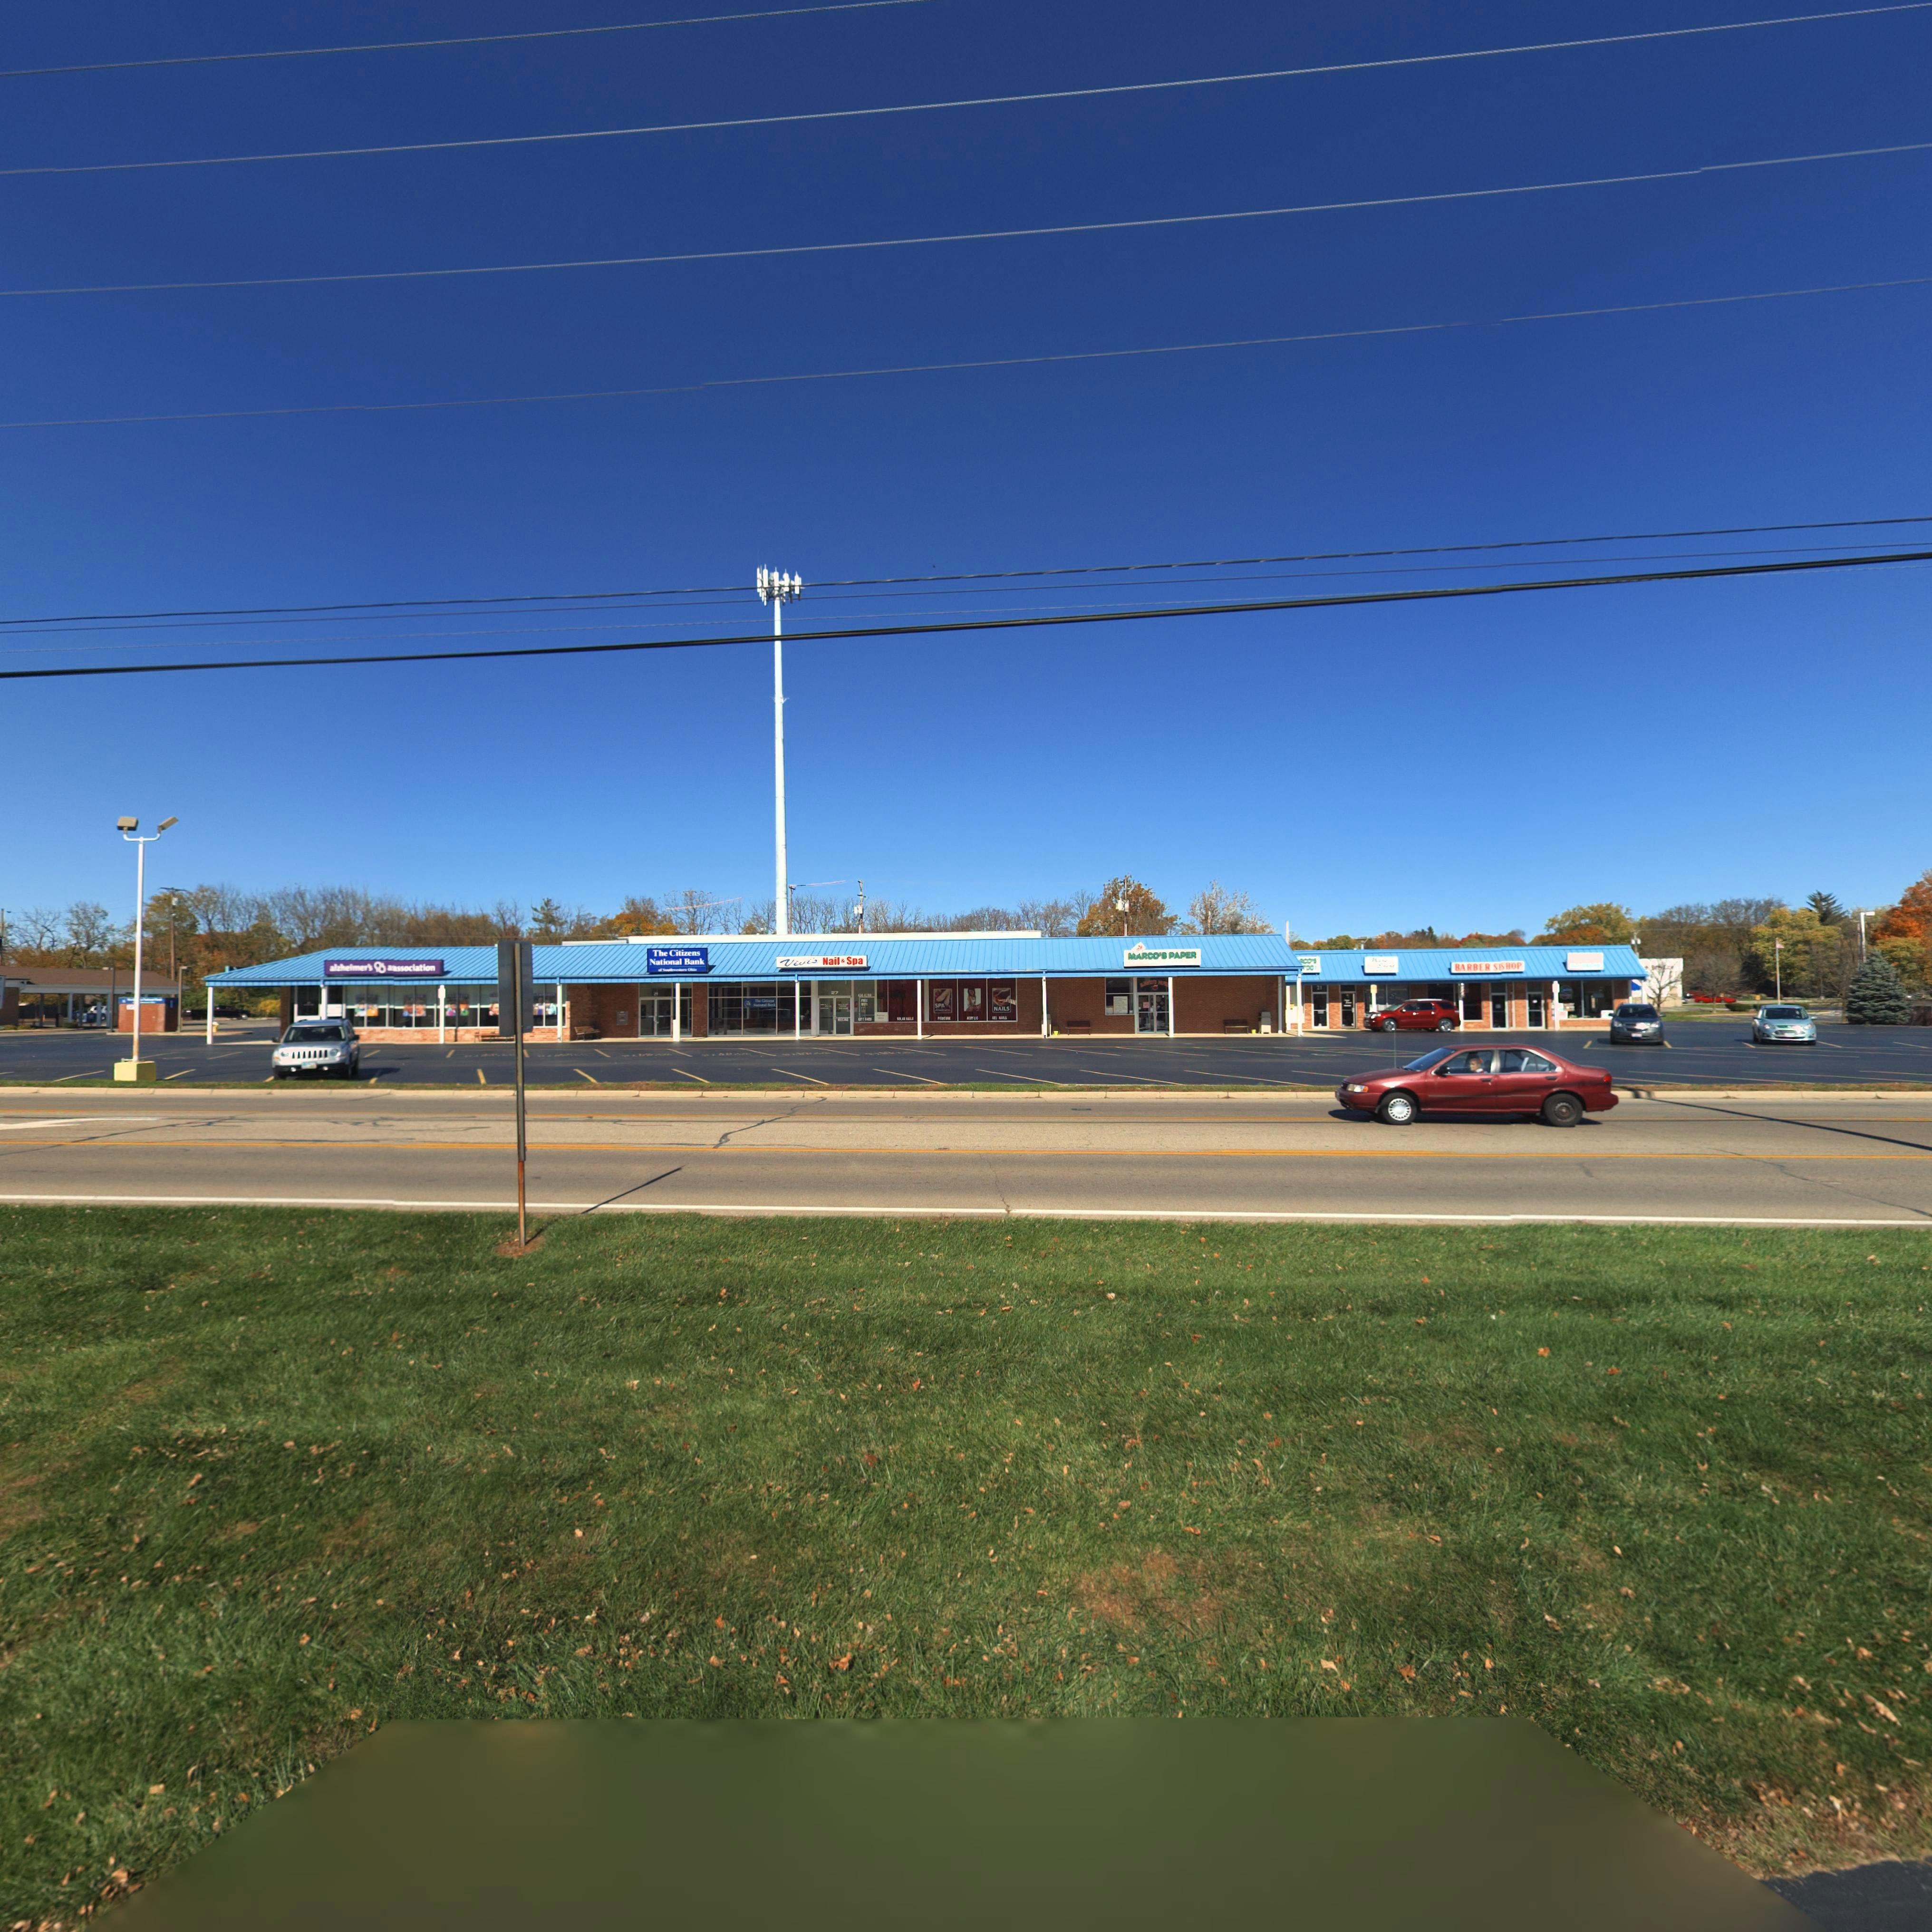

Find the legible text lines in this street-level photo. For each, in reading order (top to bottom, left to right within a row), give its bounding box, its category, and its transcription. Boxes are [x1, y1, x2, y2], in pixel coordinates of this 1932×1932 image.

[651, 948, 701, 957] BusinessName: The Citizens
[1127, 951, 1197, 961] BusinessName: MARCO'S PAPER
[648, 957, 706, 966] BusinessName: National Bank
[779, 956, 863, 967] BusinessName: Vivi's Nail & Spa
[1303, 957, 1317, 965] BusinessName: CO'S
[328, 963, 436, 973] BusinessName: alzheimer's * aassociation
[1305, 965, 1314, 971] BusinessName: OO
[1454, 961, 1523, 972] BusinessName: BARBER S*HOP
[1316, 985, 1323, 991] StreetNumber: 21
[831, 990, 840, 995] StreetNumber: 27
[934, 1003, 946, 1008] None: SPA
[993, 1005, 1010, 1012] None: NAILS